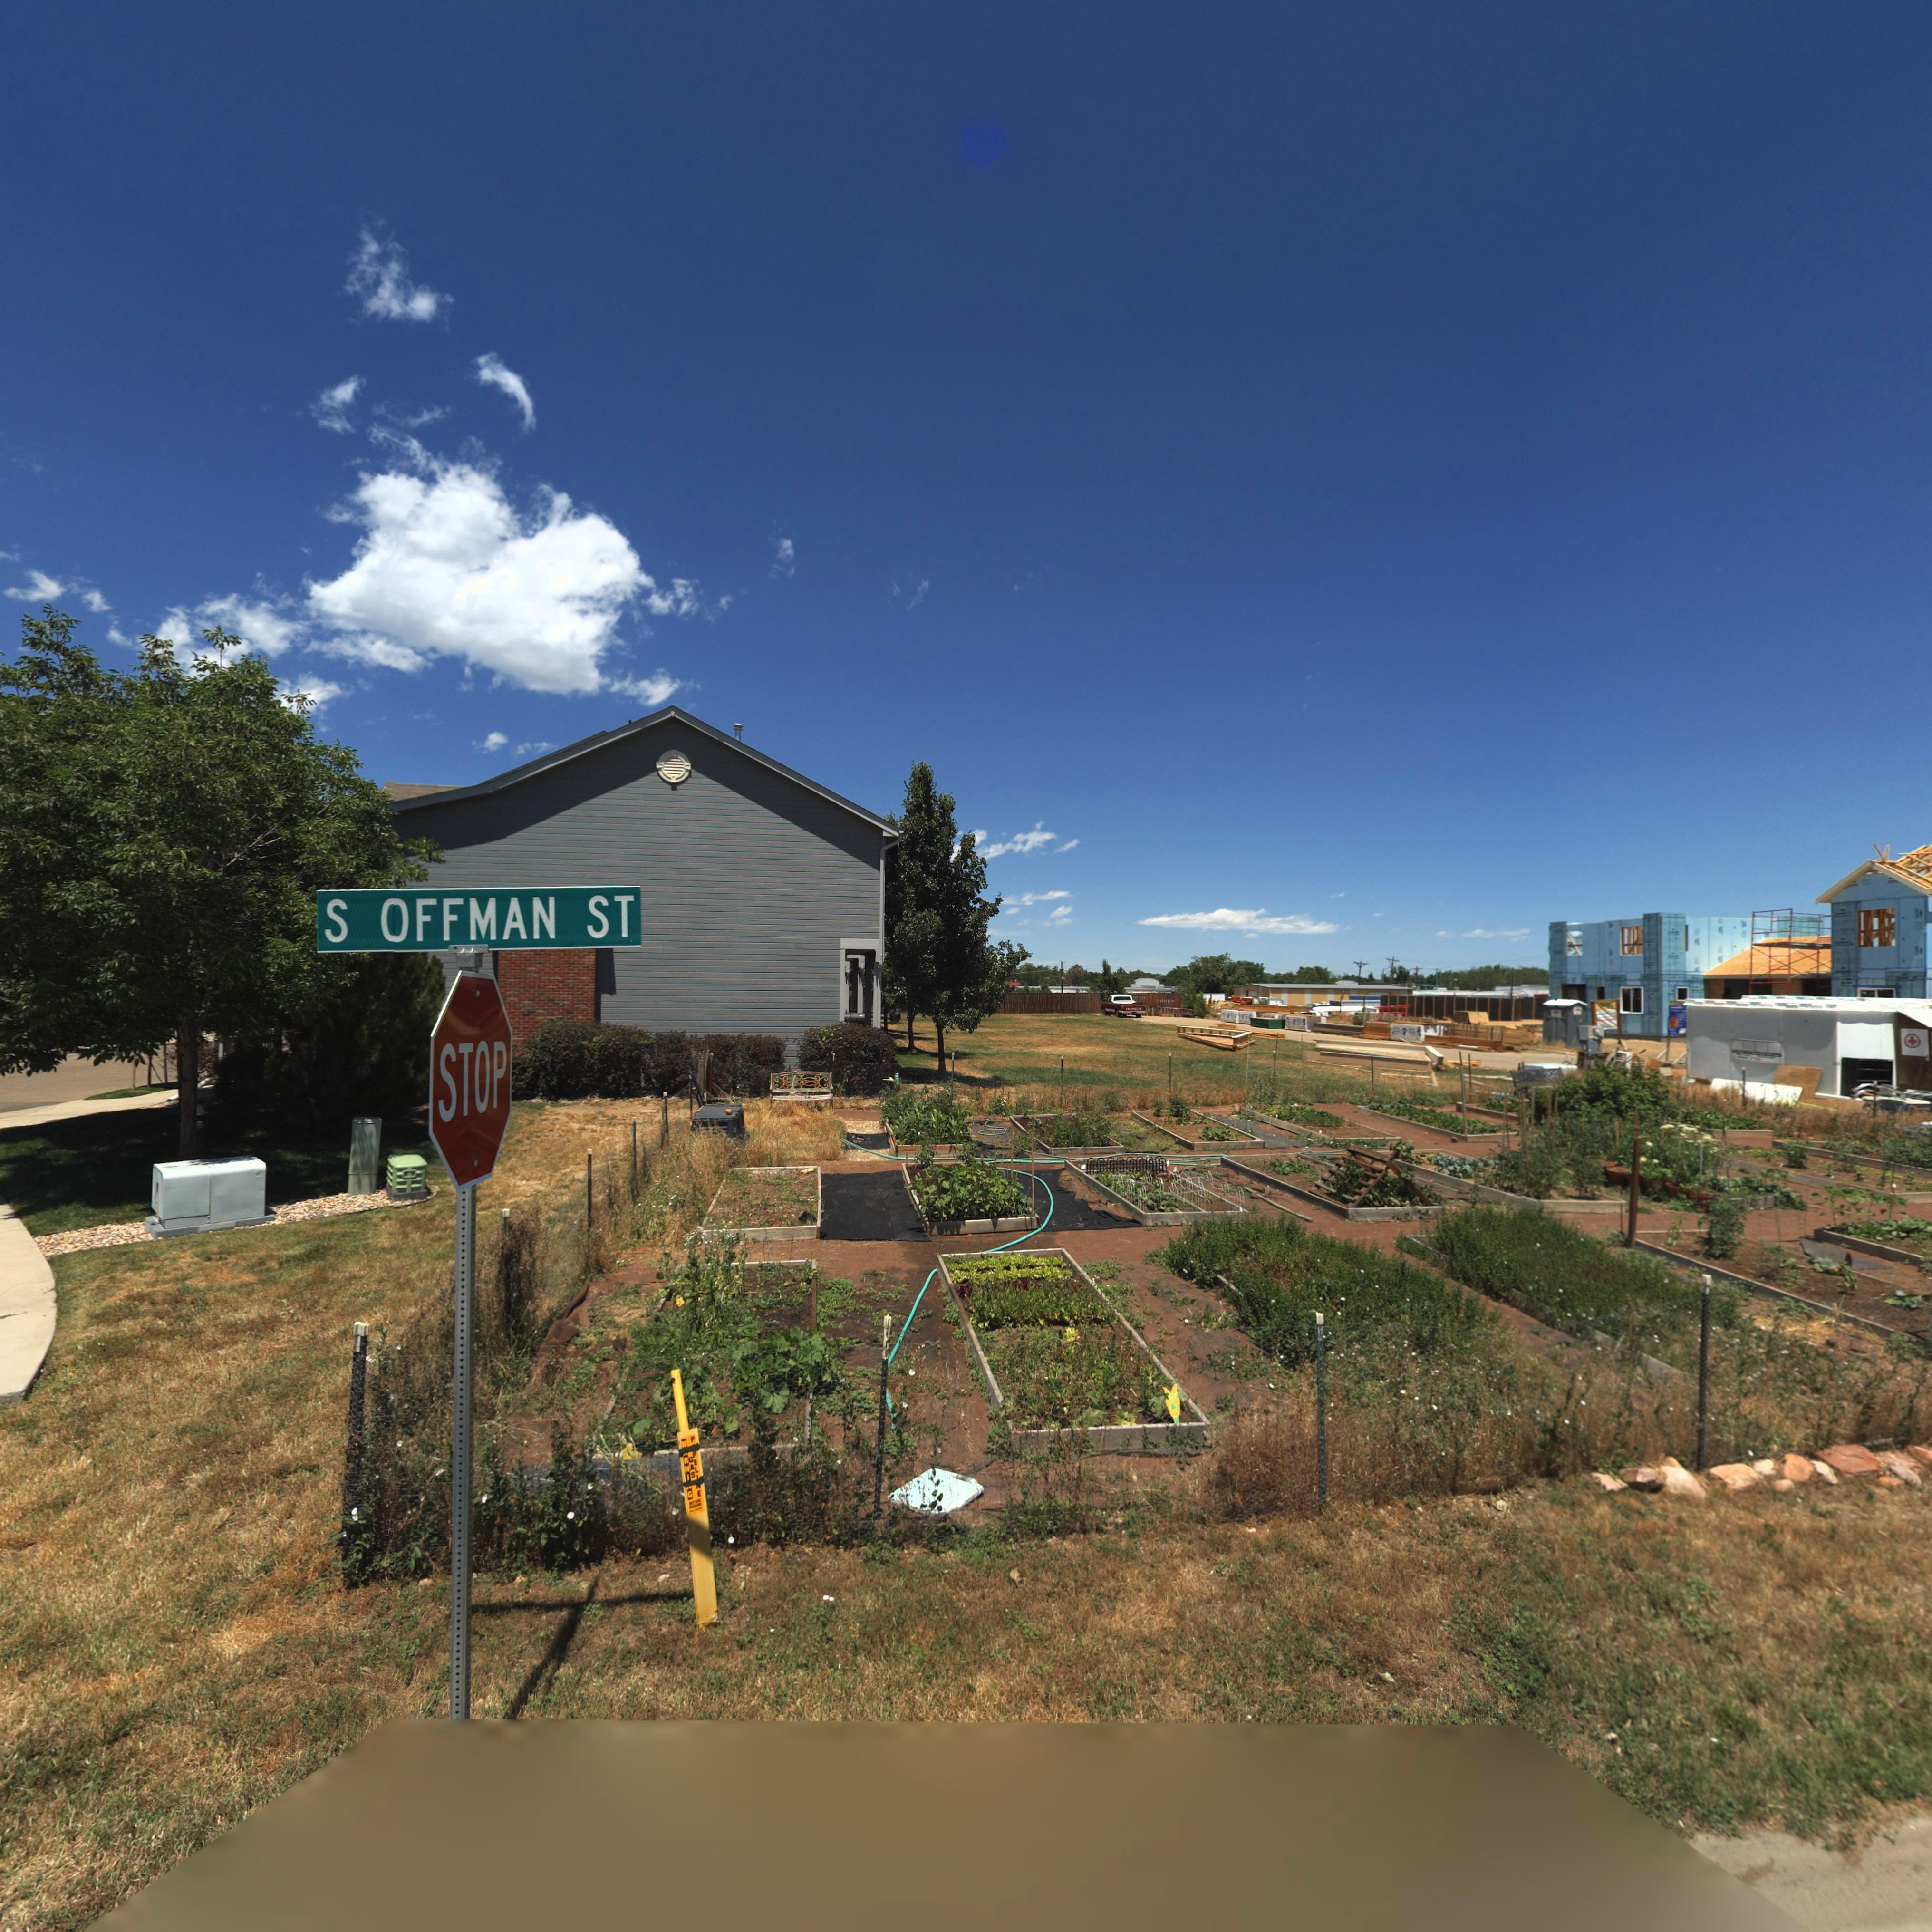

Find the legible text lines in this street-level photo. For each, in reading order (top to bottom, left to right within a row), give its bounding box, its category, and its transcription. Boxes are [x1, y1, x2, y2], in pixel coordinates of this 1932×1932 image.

[323, 894, 635, 944] StreetName: S OFFMAN ST